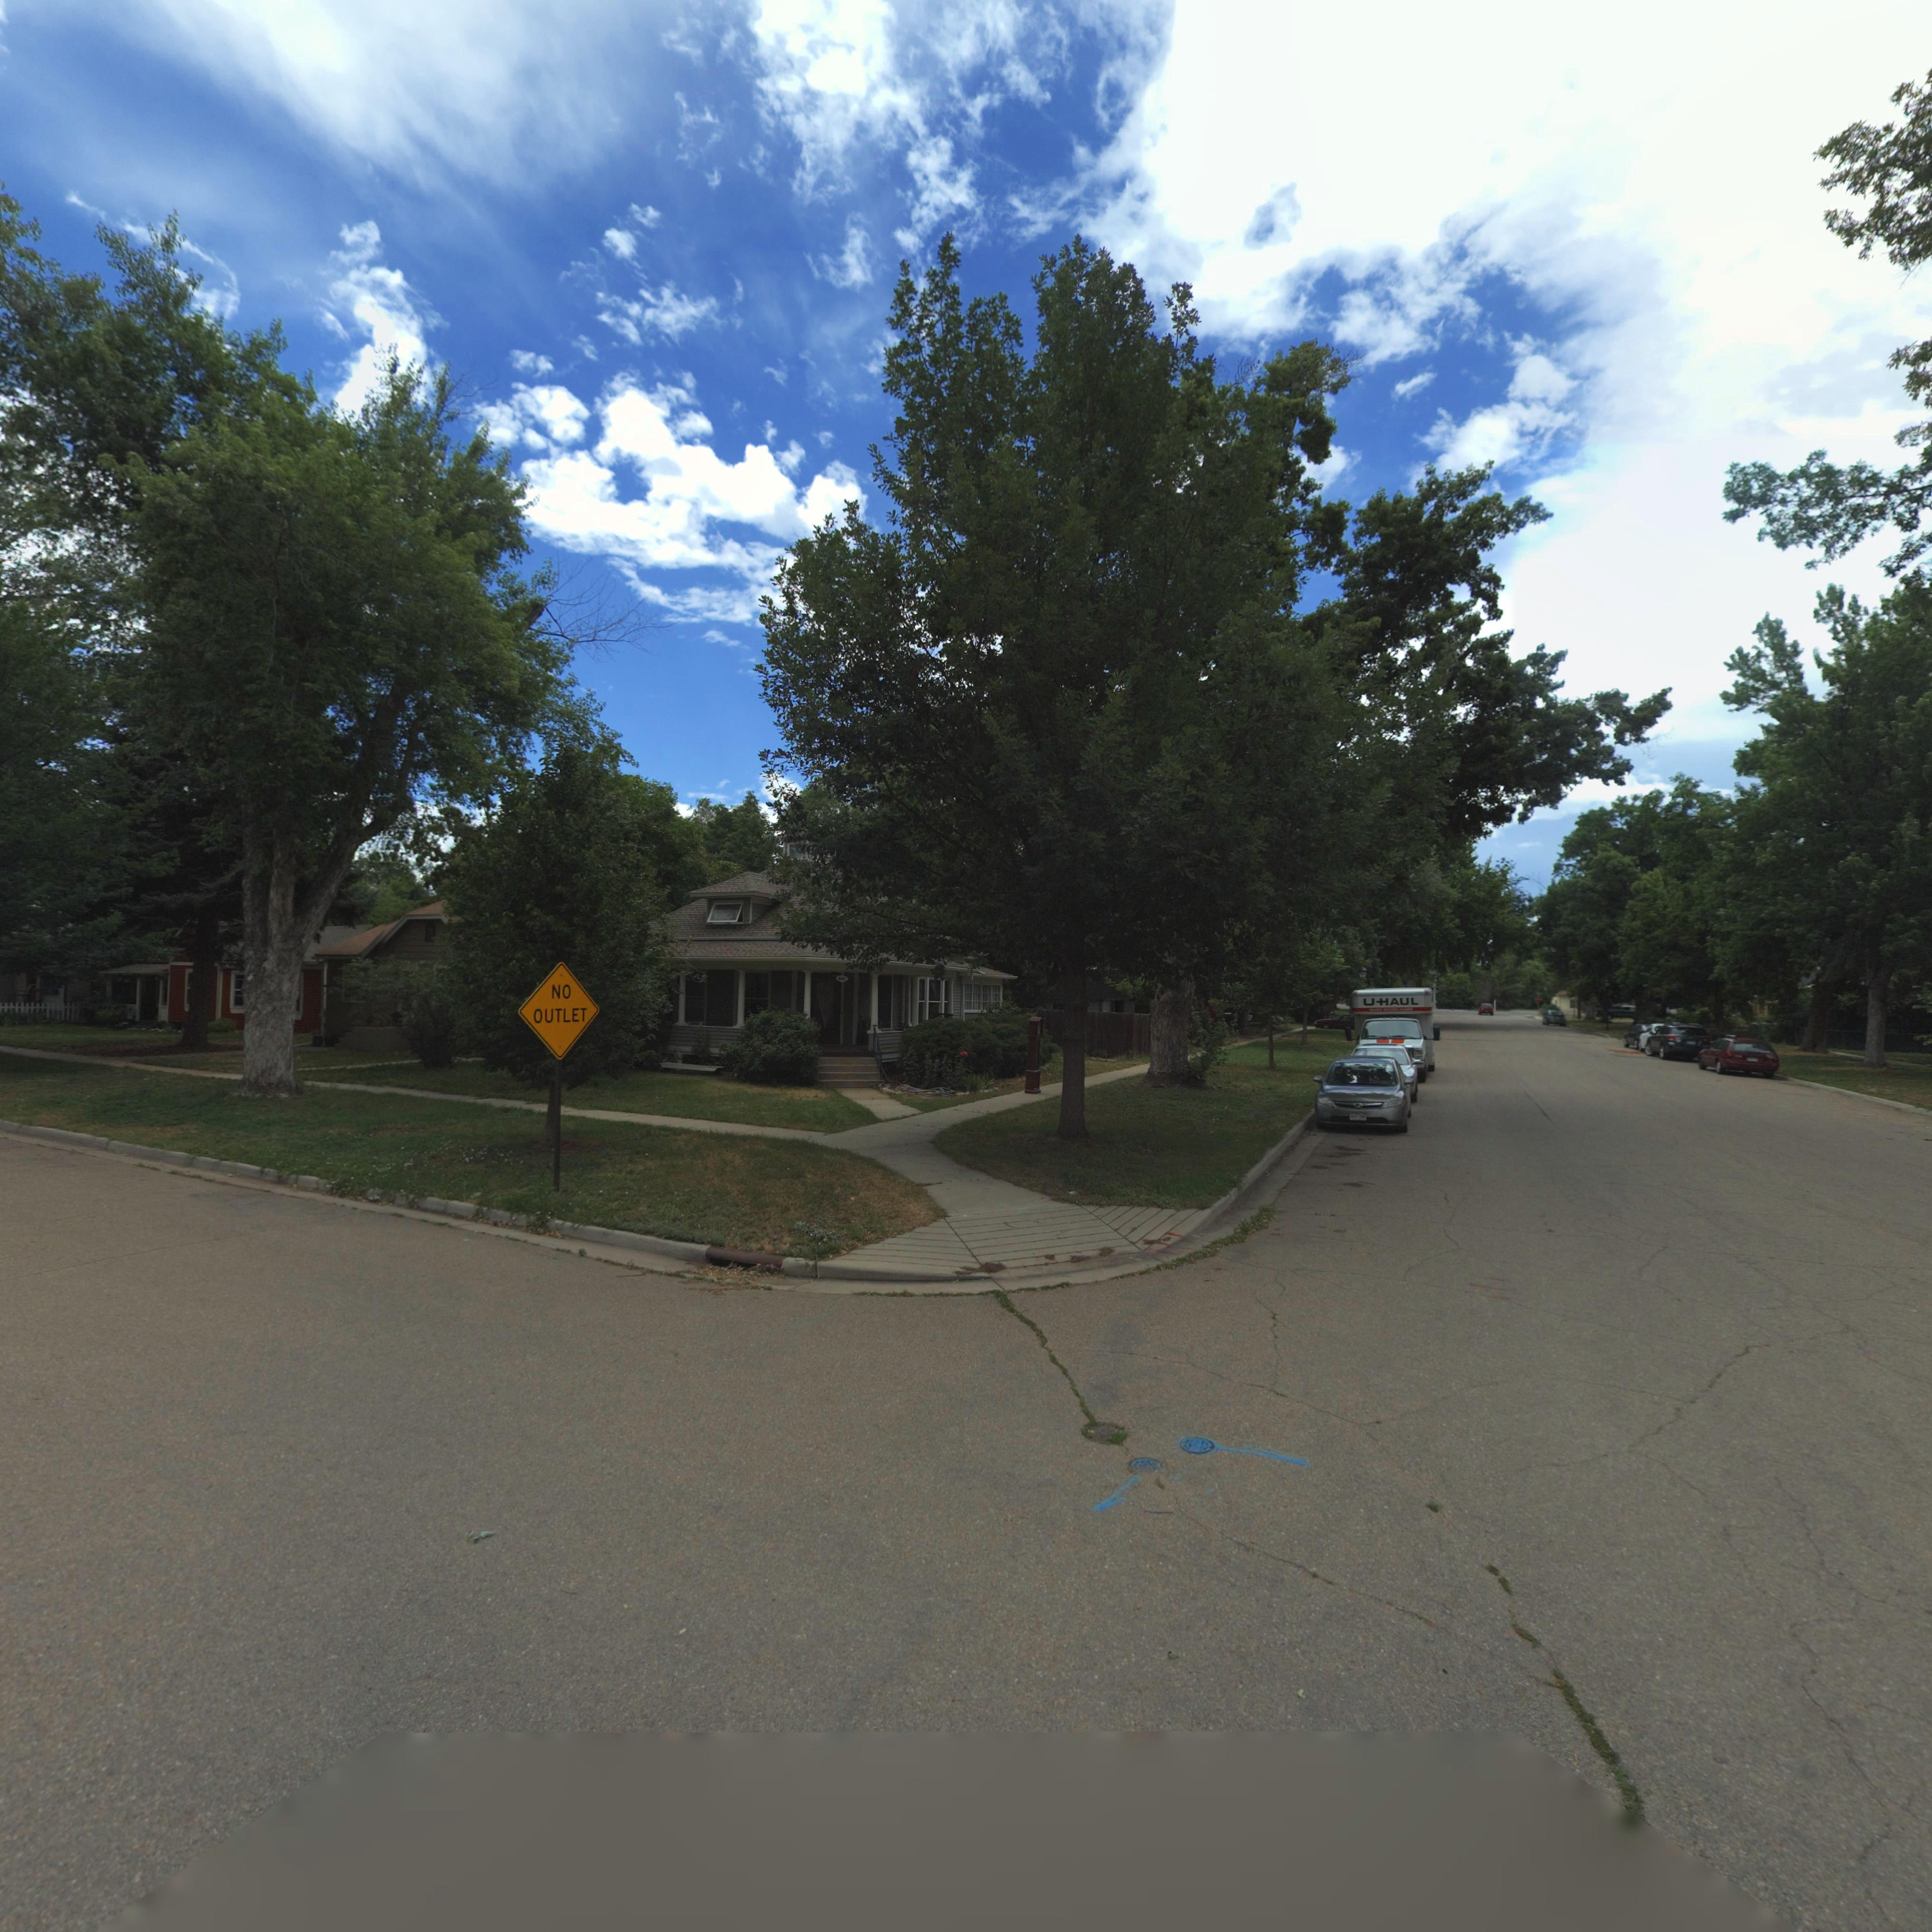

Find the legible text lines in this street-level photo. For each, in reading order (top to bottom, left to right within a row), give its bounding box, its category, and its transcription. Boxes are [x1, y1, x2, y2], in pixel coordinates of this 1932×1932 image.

[839, 976, 845, 980] StreetNumber: *51